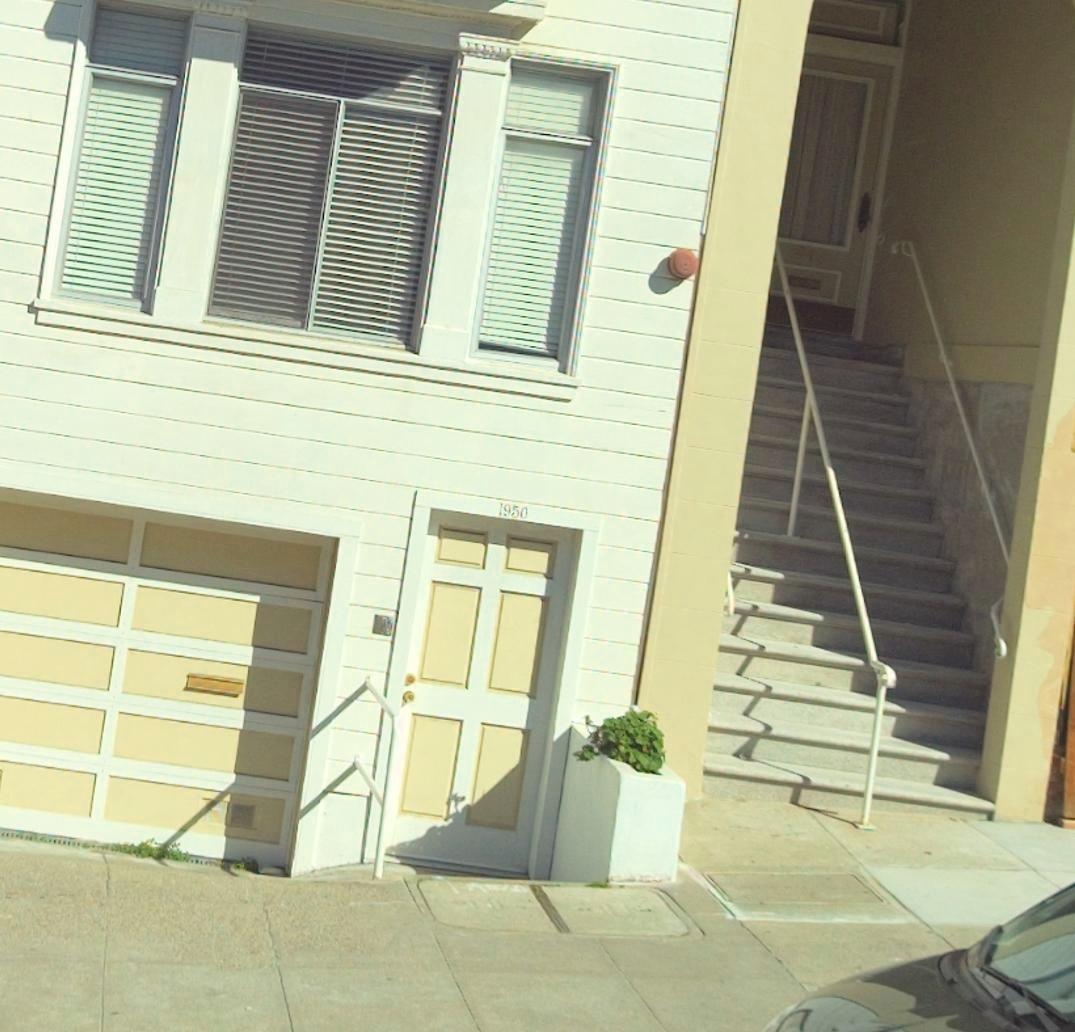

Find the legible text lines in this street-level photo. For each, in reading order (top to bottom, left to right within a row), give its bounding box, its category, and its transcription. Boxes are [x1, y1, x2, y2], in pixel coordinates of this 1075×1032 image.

[496, 501, 530, 520] StreetNumber: 1950